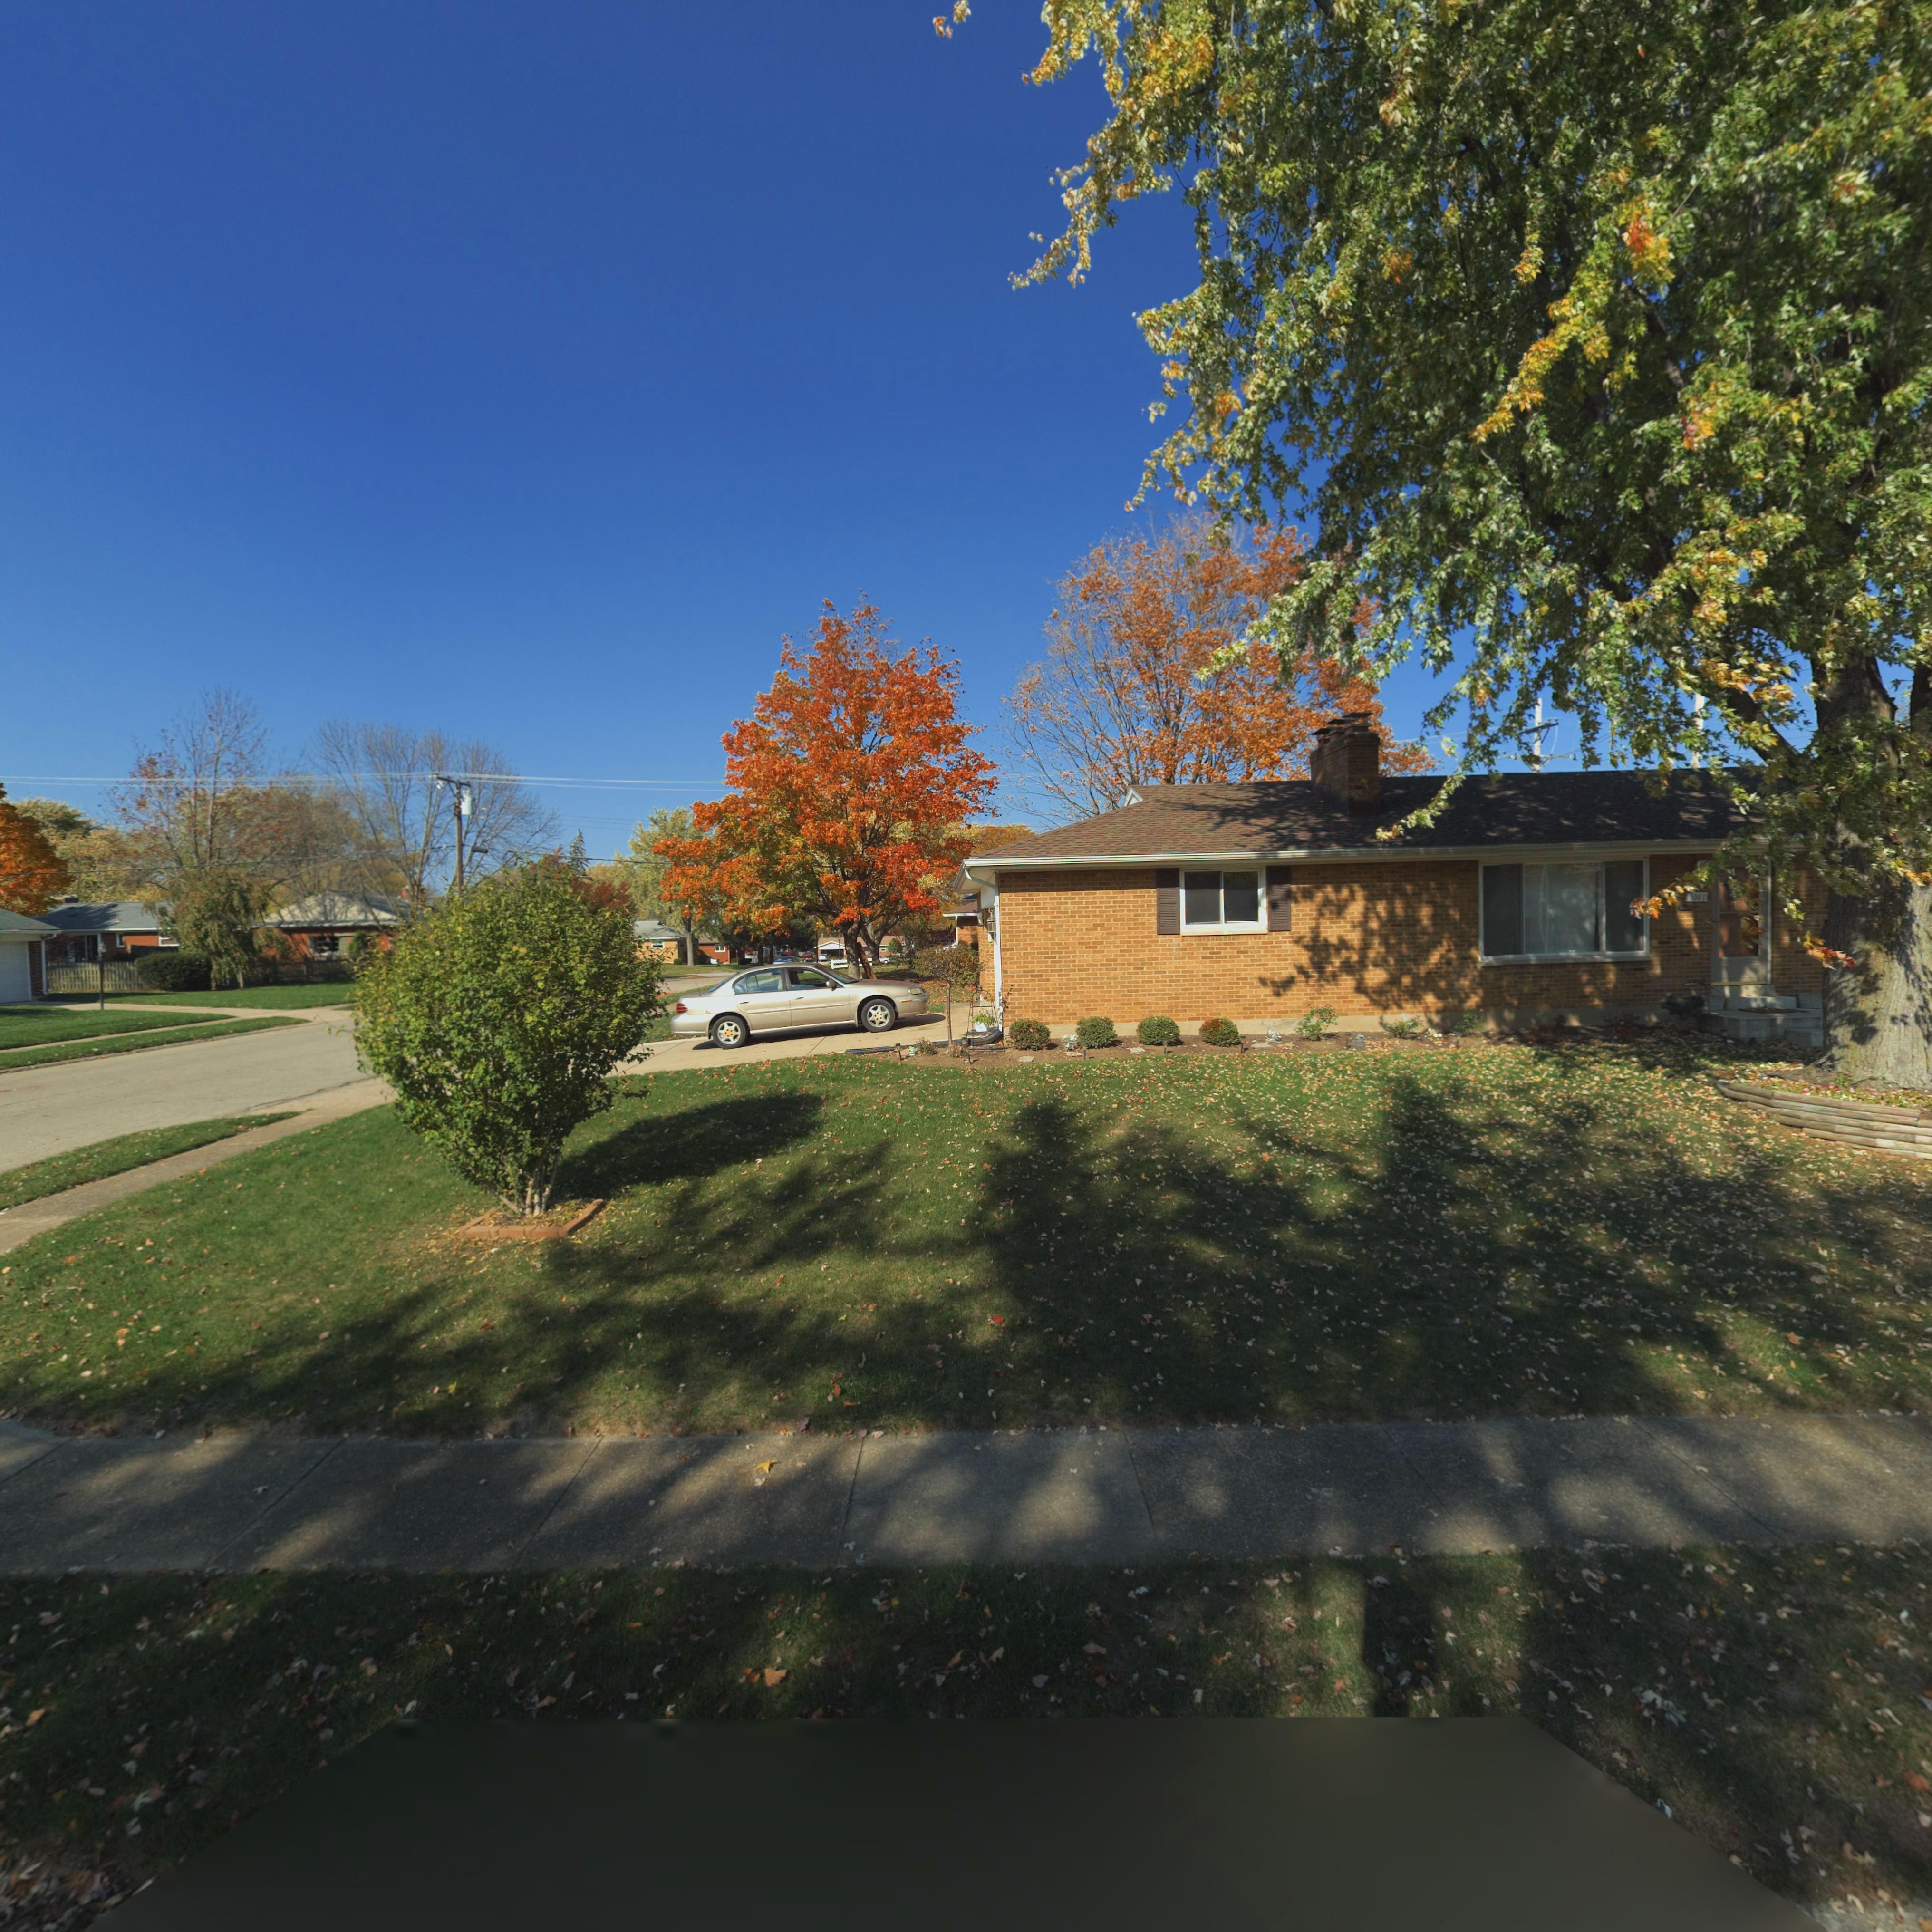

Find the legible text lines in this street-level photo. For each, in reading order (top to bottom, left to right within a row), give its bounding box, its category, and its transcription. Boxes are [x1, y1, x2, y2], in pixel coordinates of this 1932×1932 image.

[1689, 892, 1707, 902] StreetNumber: 1001